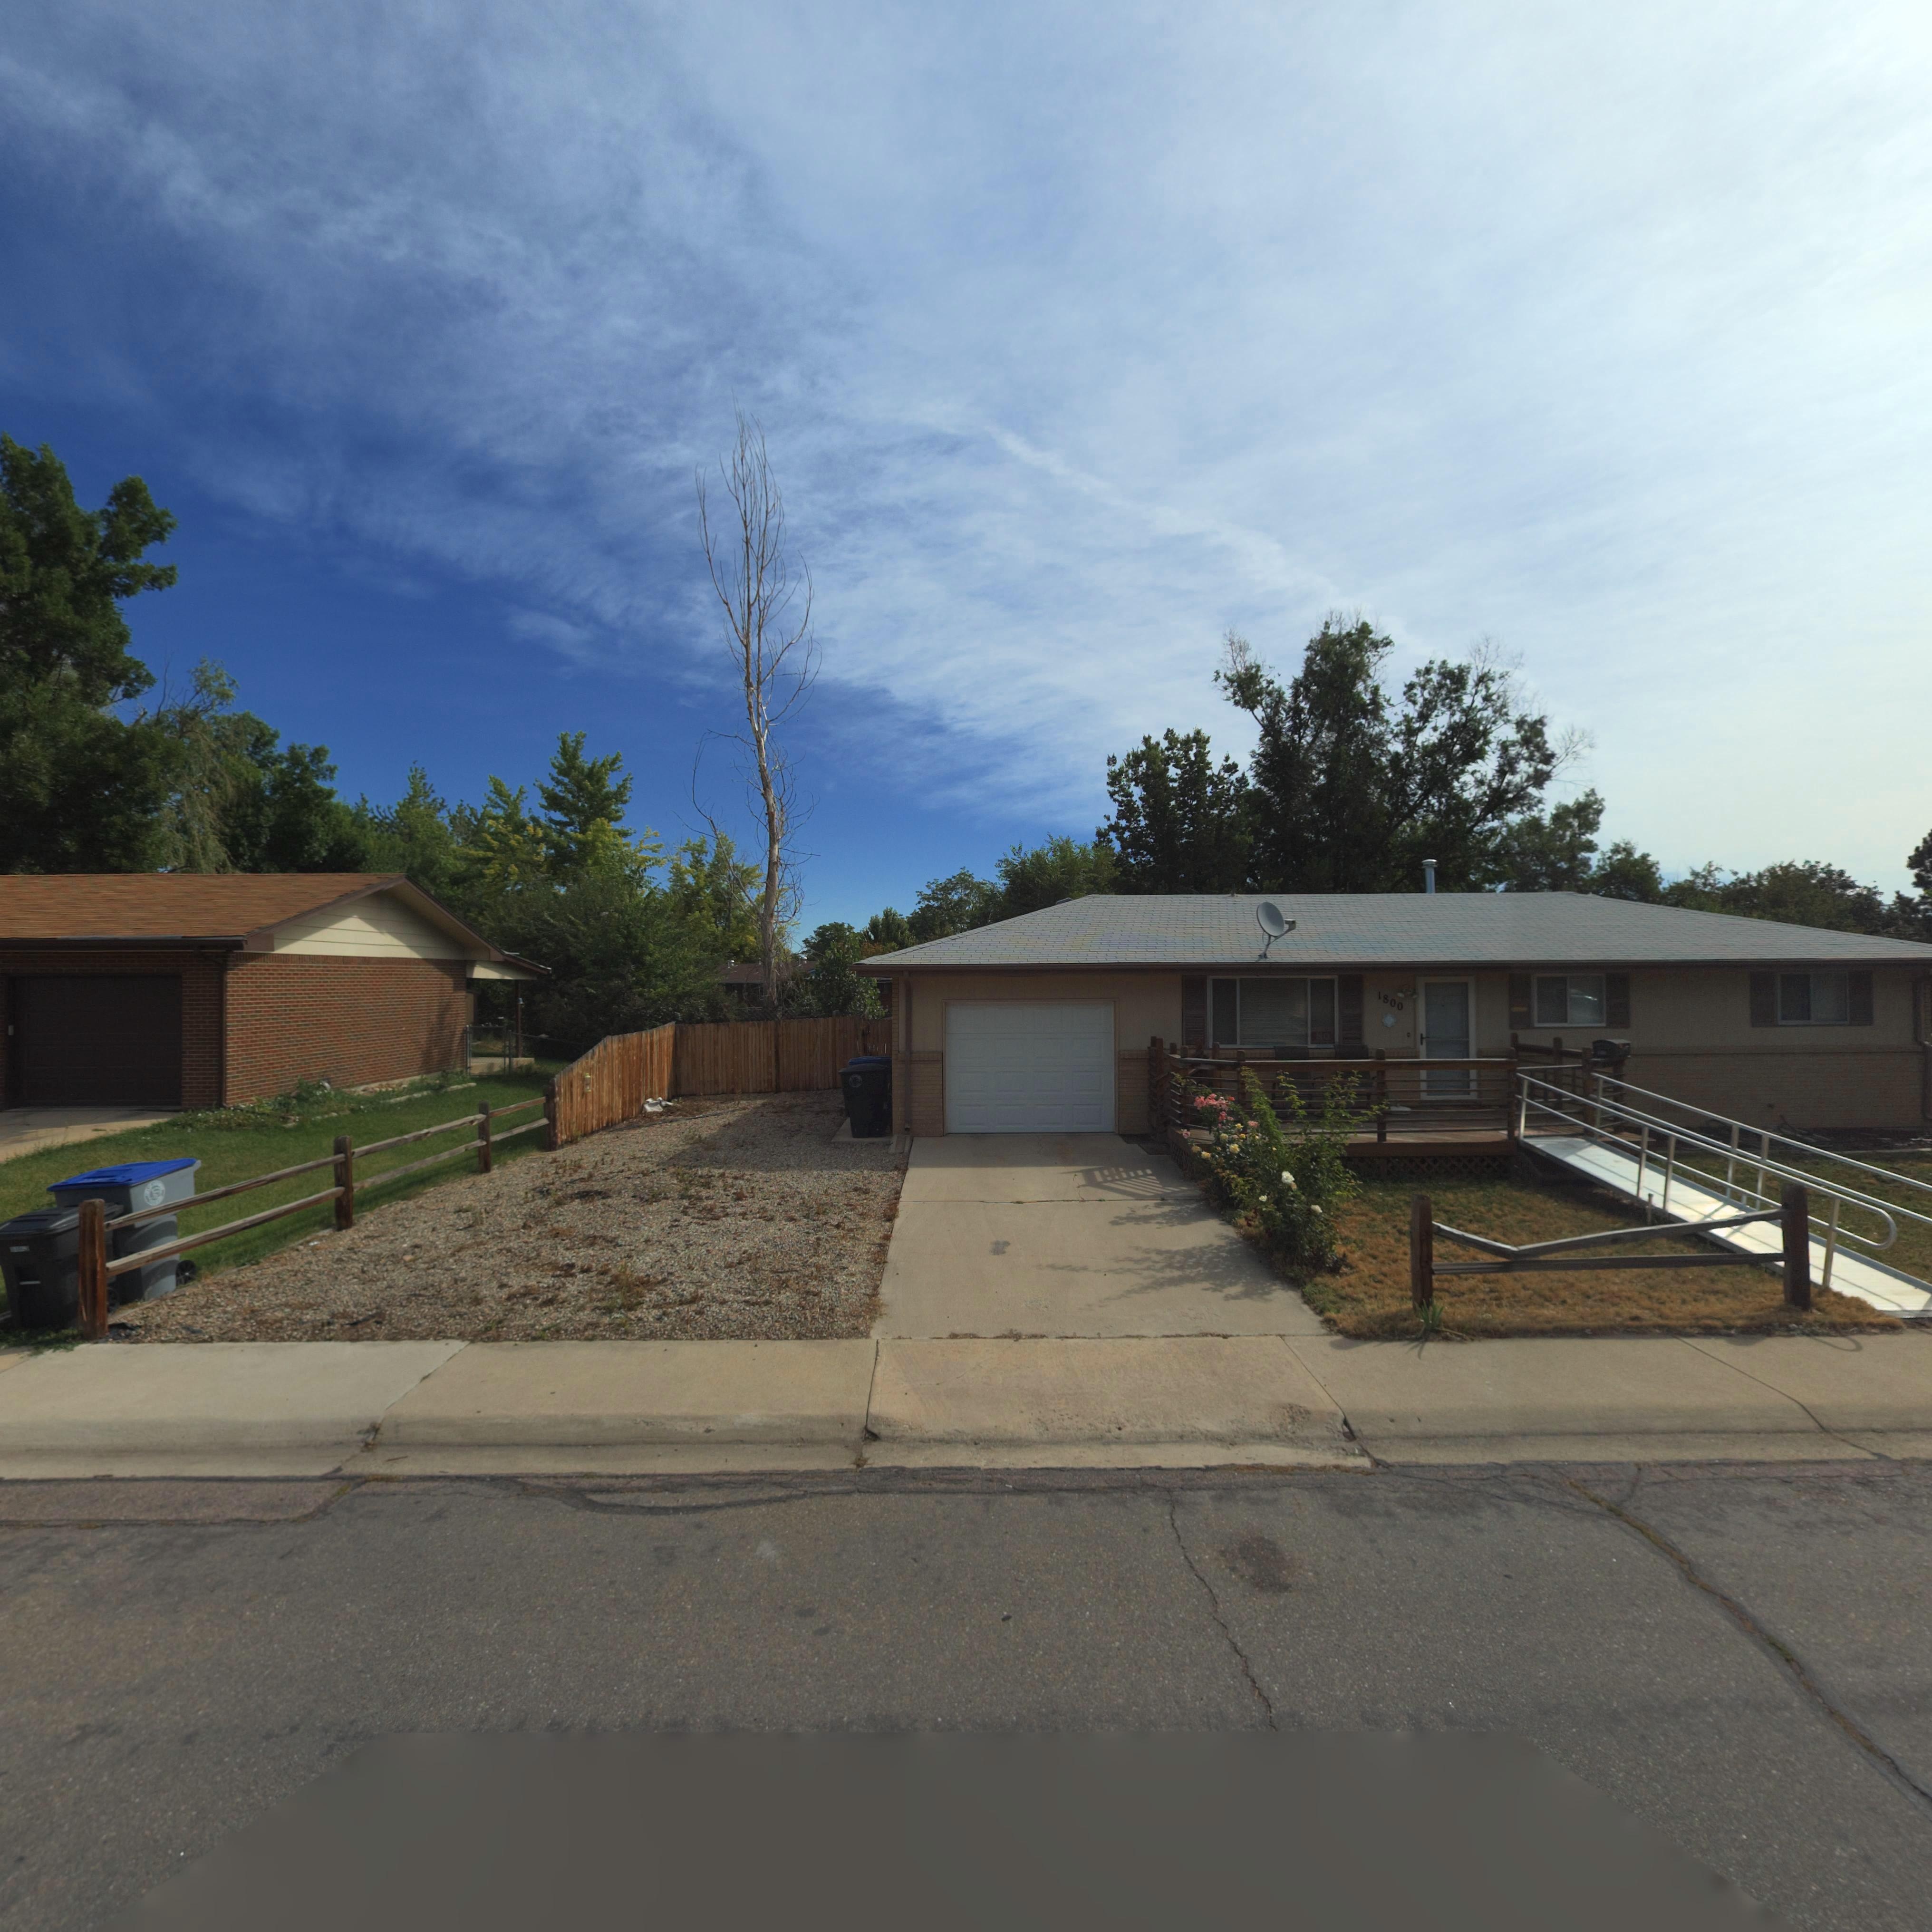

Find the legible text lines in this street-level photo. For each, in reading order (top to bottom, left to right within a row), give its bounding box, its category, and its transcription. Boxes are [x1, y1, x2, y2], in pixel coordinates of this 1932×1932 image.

[1378, 991, 1403, 1011] StreetNumber: 1800